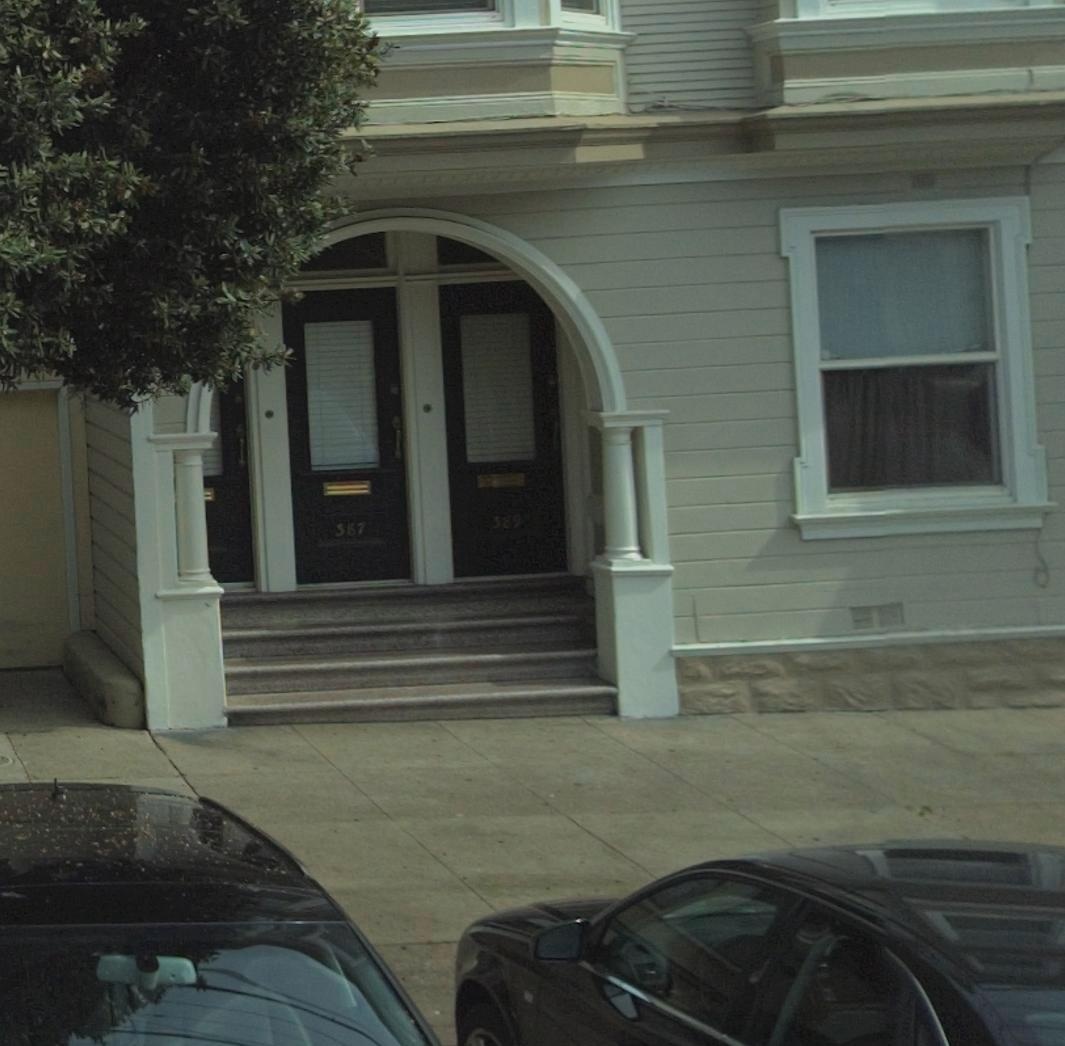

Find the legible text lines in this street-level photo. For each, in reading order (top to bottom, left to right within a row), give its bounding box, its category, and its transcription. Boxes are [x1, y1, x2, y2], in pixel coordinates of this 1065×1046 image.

[335, 520, 367, 538] StreetNumber: 387
[490, 513, 522, 529] StreetNumber: 389